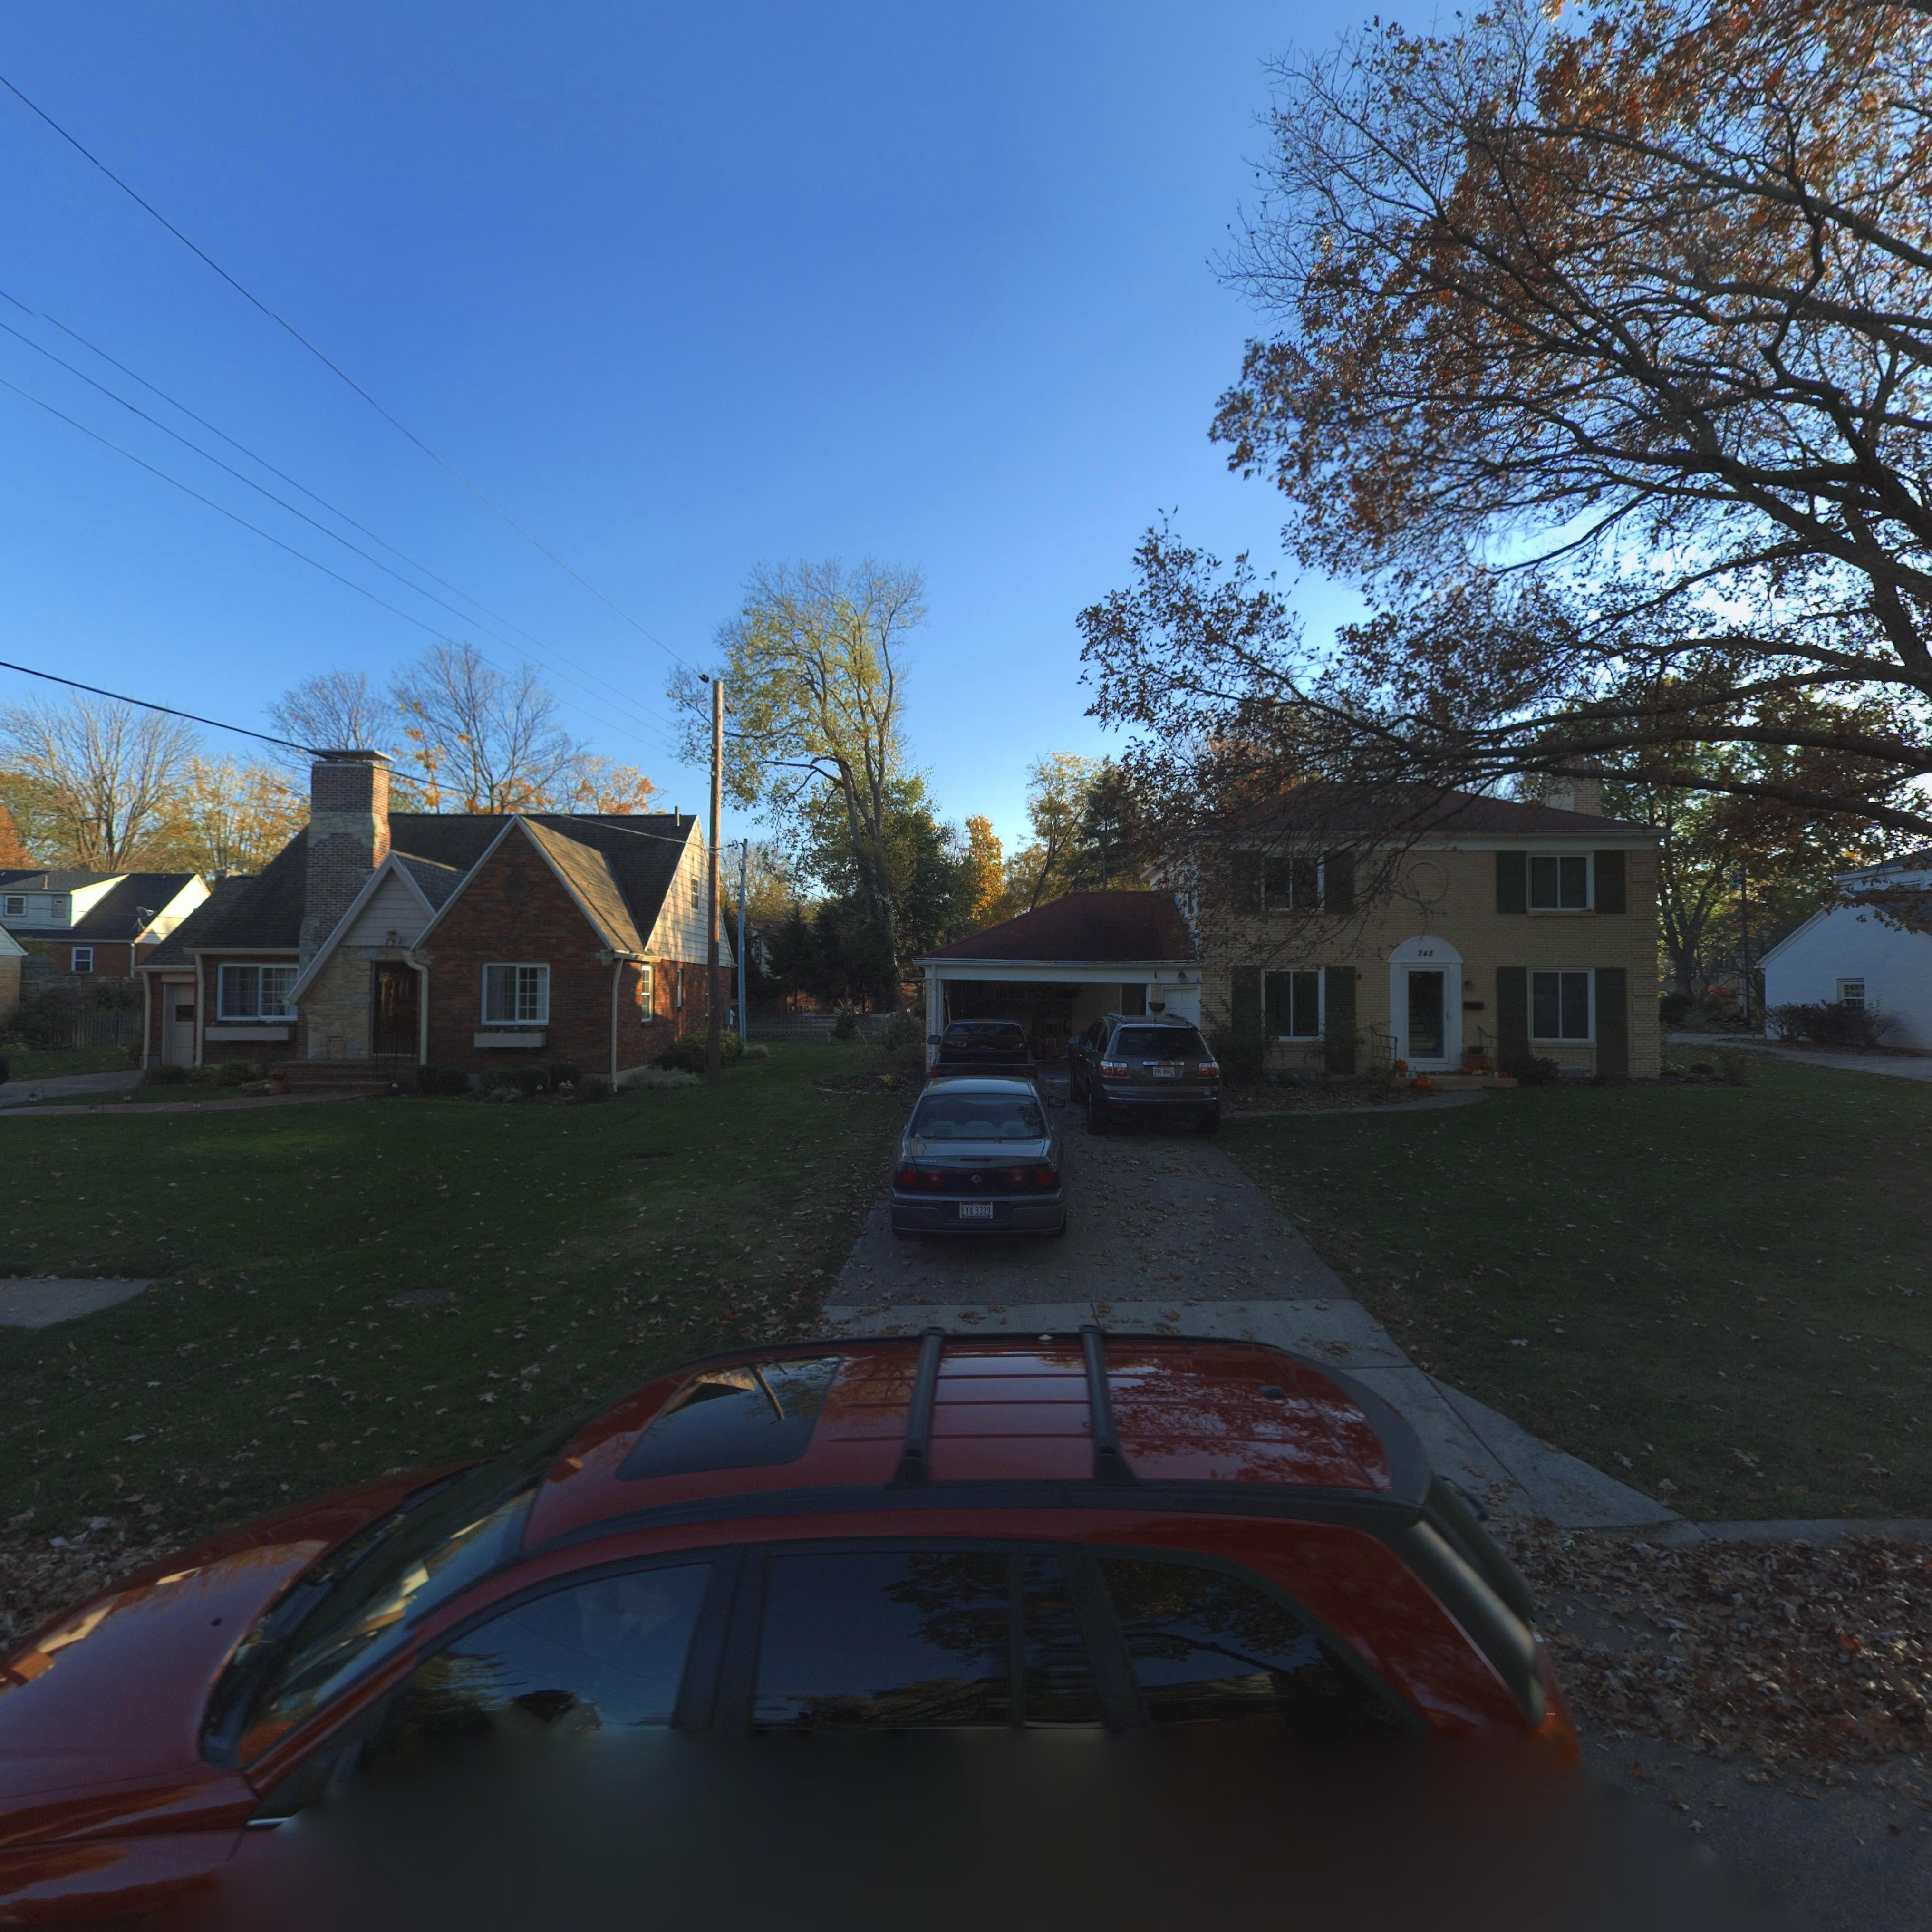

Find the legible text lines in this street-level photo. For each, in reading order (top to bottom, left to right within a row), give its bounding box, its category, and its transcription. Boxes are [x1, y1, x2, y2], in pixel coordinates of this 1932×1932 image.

[384, 937, 404, 946] StreetNumber: 232
[1418, 949, 1434, 957] StreetNumber: 248